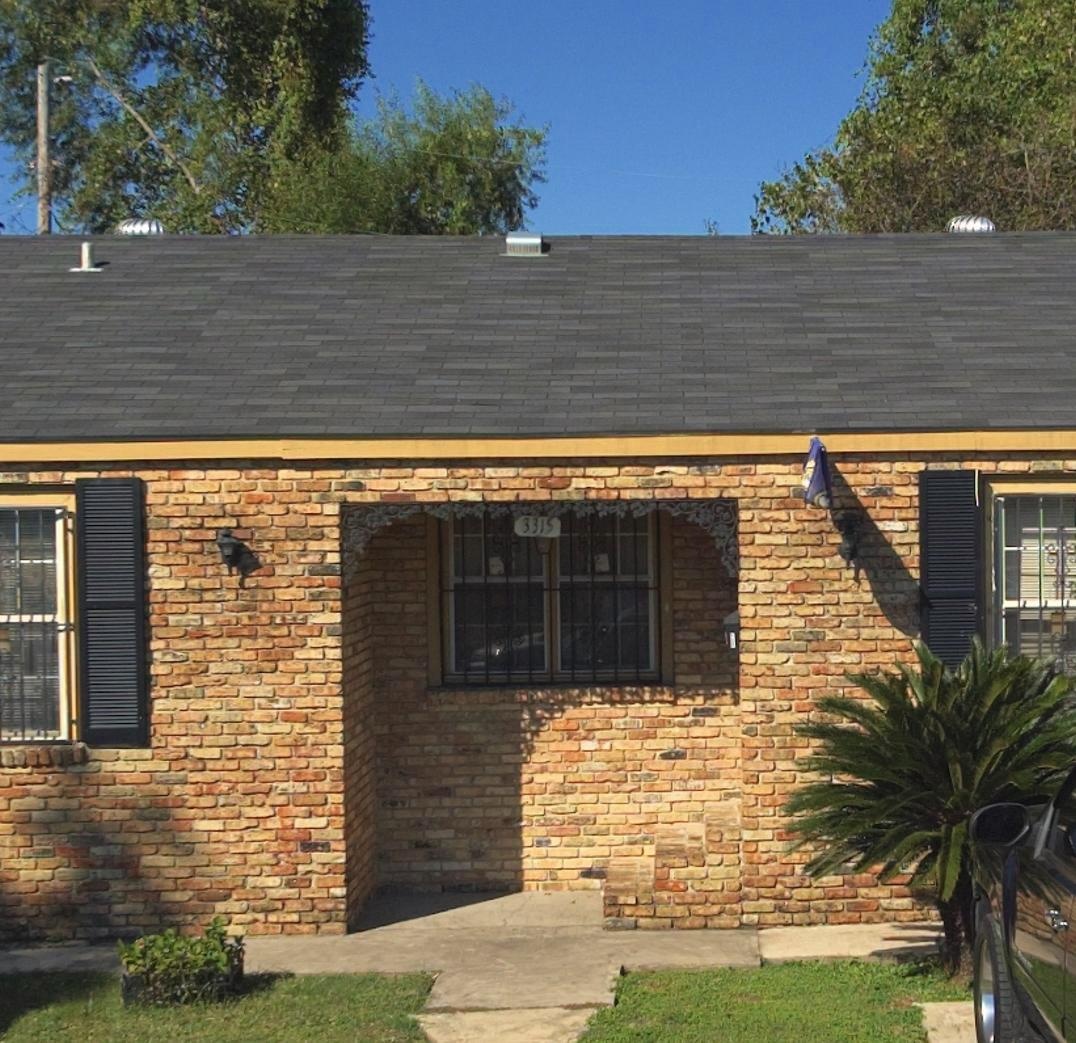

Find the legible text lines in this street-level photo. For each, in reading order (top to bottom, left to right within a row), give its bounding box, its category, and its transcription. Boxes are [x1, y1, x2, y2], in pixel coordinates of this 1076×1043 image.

[520, 515, 555, 536] StreetNumber: 3315